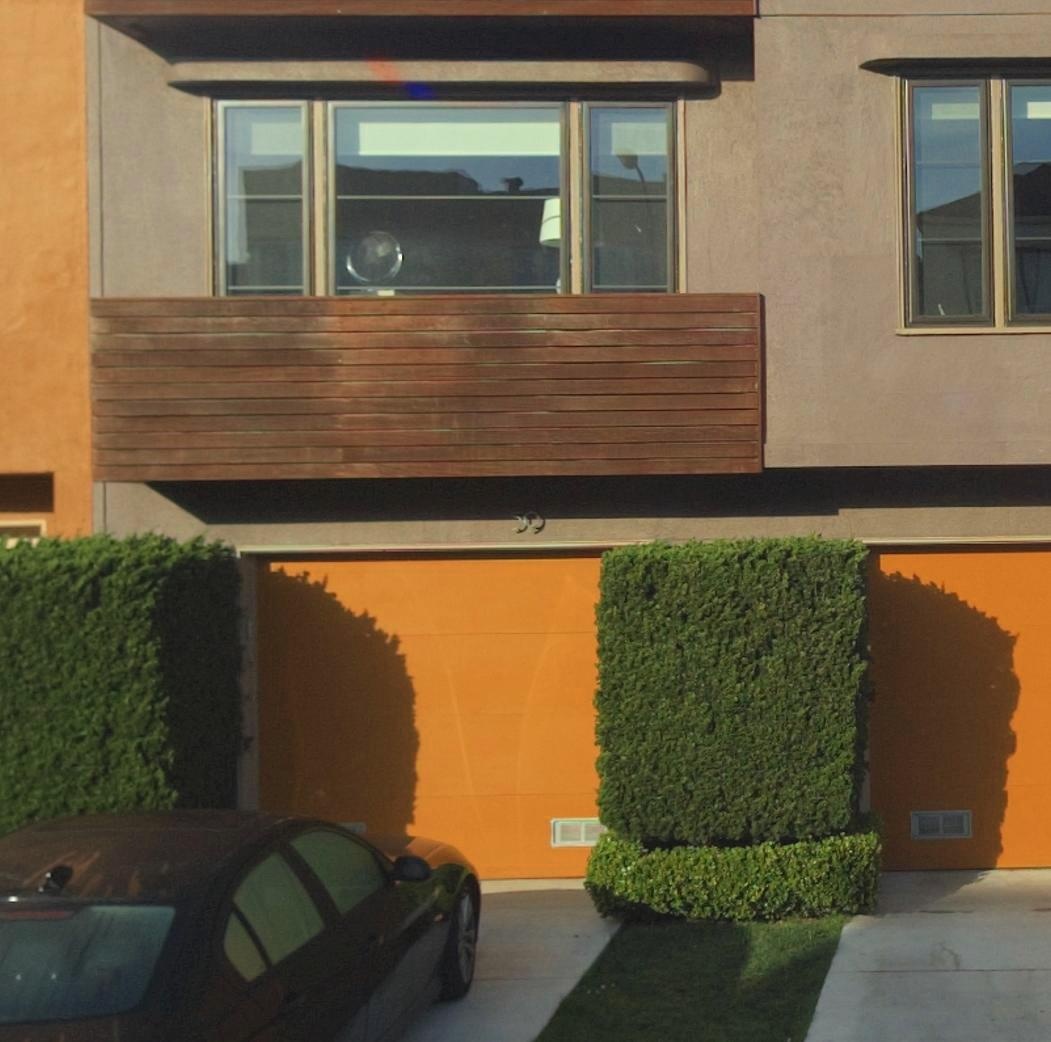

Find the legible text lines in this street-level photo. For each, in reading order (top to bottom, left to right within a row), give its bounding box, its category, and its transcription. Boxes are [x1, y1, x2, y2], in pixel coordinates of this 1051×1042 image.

[508, 508, 542, 533] StreetNumber: 59